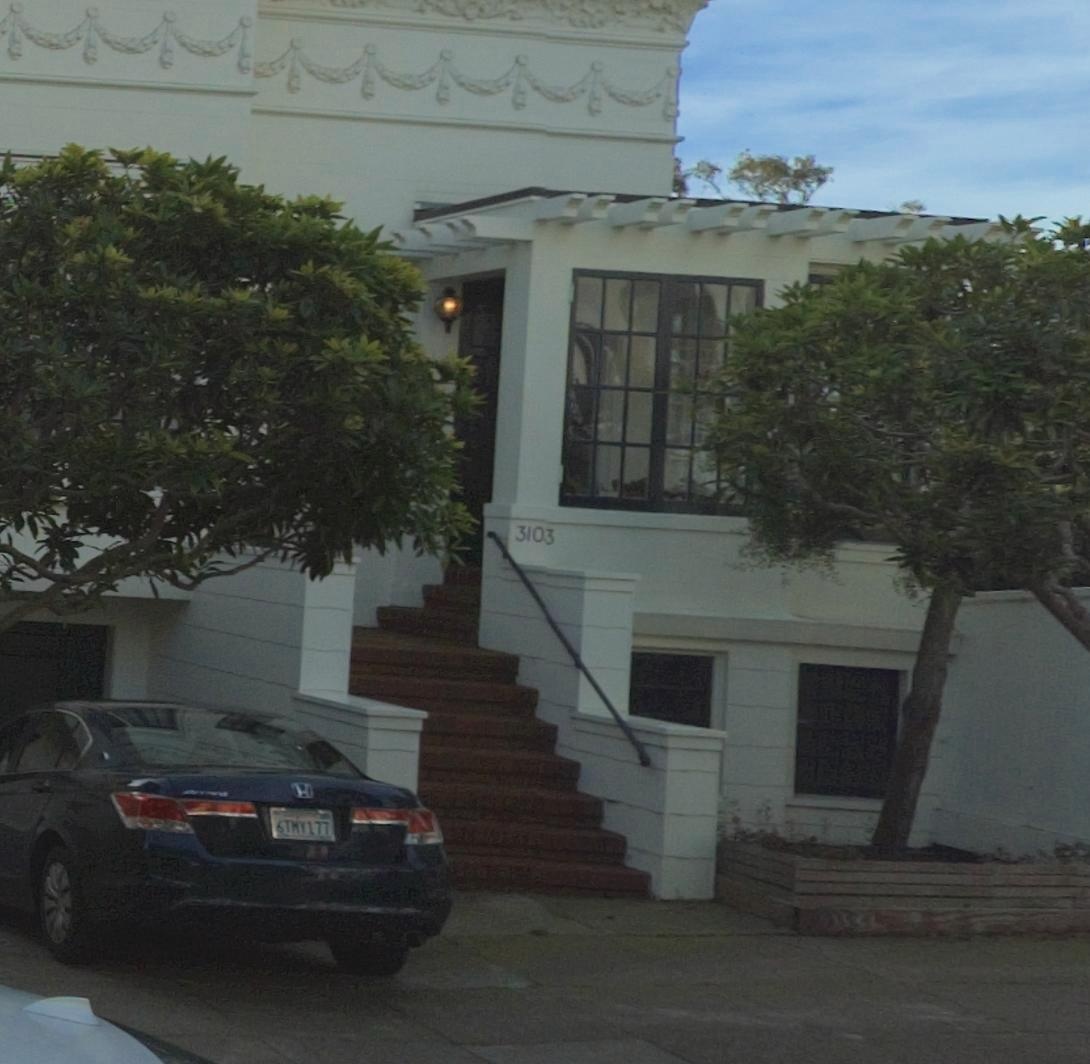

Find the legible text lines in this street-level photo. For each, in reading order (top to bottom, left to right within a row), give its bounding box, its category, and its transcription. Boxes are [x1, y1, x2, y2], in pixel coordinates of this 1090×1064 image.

[511, 522, 558, 548] StreetNumber: 3103
[292, 782, 314, 799] None: H
[274, 816, 335, 838] None: 6T*Y177